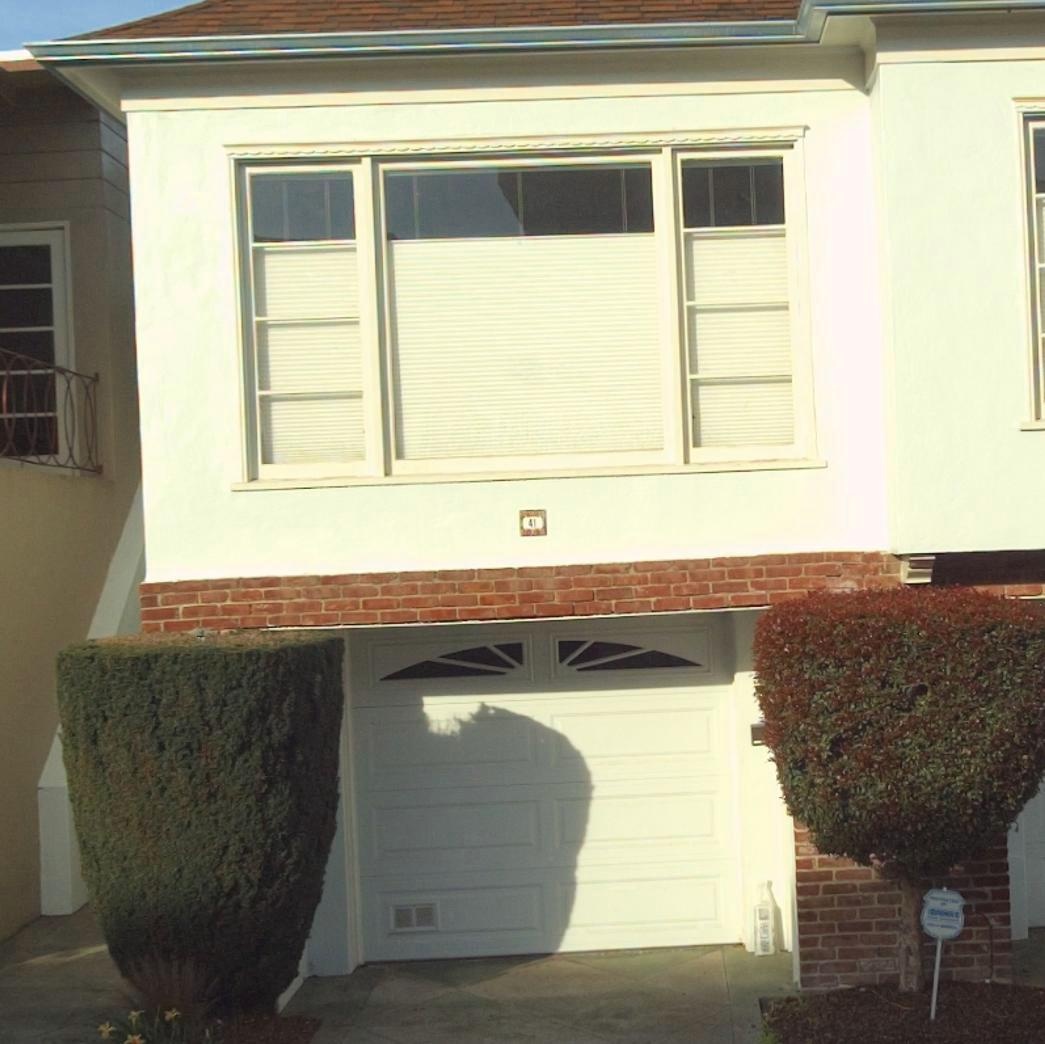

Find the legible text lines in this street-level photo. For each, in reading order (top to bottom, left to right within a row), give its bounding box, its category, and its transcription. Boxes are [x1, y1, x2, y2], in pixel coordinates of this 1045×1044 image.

[526, 517, 539, 529] StreetNumber: 41